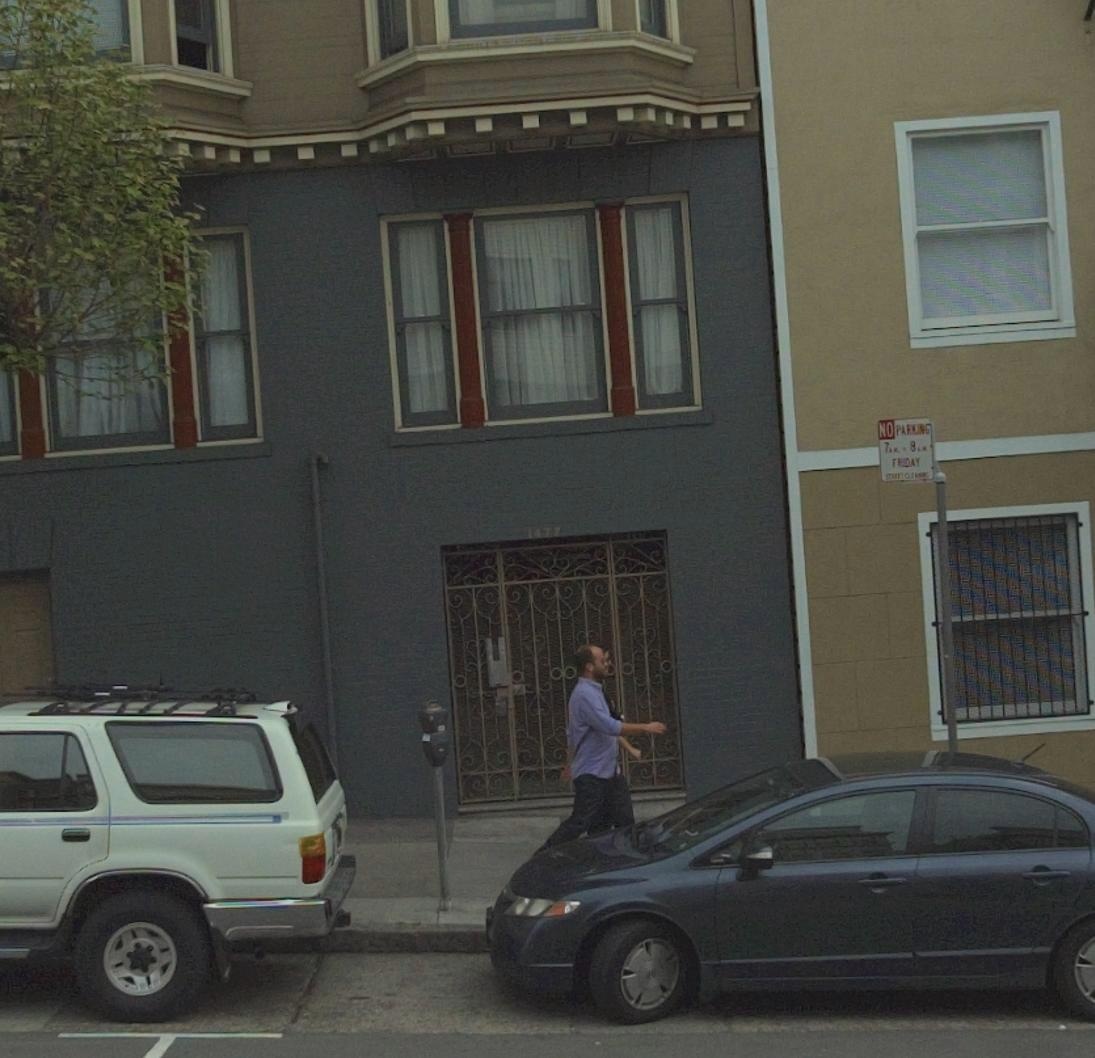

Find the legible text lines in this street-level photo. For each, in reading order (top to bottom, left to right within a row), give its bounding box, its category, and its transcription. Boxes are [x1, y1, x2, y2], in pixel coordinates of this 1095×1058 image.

[877, 421, 932, 439] None: NO PARKING
[882, 440, 901, 455] None: 7AM
[908, 438, 929, 453] None: 8AM
[890, 456, 922, 468] None: FRIDAY
[526, 525, 562, 539] StreetNumber: 1477